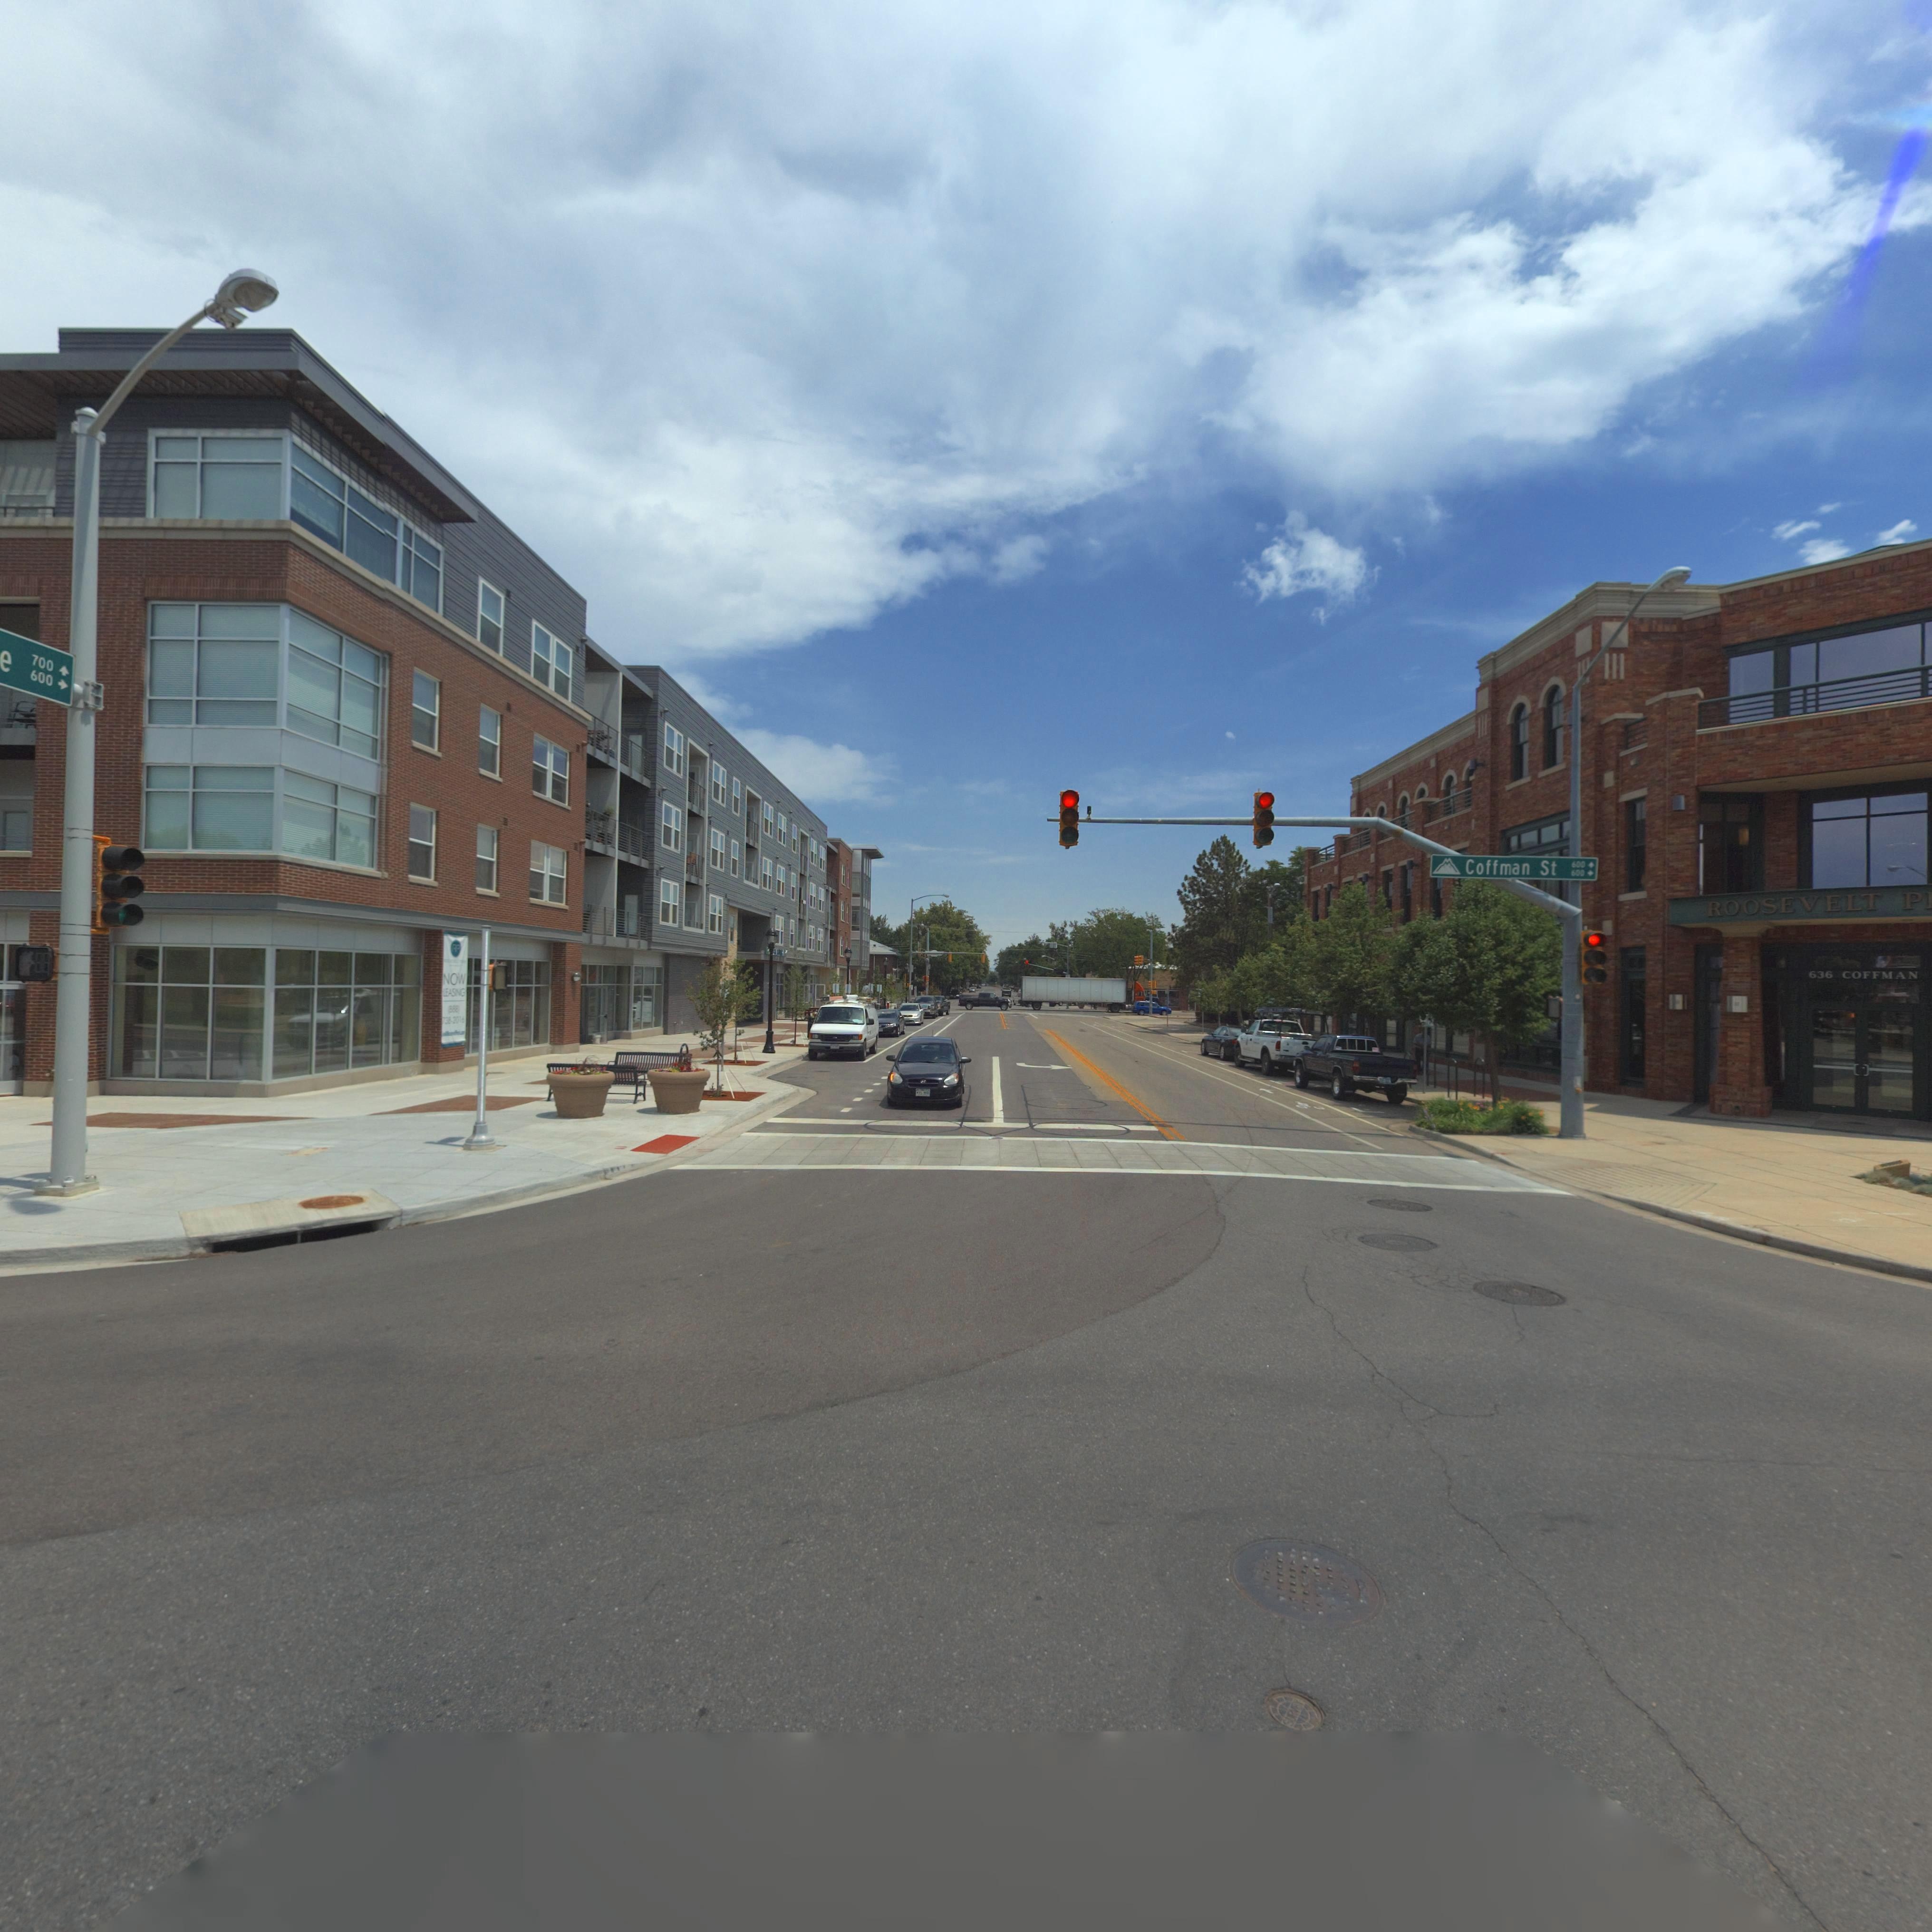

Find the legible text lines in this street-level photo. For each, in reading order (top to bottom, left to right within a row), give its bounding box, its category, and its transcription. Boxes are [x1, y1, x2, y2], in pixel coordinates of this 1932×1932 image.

[0, 649, 12, 673] StreetName: e
[30, 653, 55, 673] StreetNumberRange: 700
[29, 668, 69, 691] StreetNumberRange: 600  >
[1464, 858, 1557, 877] StreetName: Coffman St
[1571, 860, 1585, 868] StreetNumberRange: 600
[1570, 869, 1594, 876] StreetNumberRange: 600 ->
[1706, 891, 1923, 917] BusinessName: ROOSEVELT P
[1807, 970, 1833, 979] StreetNumber: 636
[1841, 970, 1918, 979] StreetName: COFFMAN